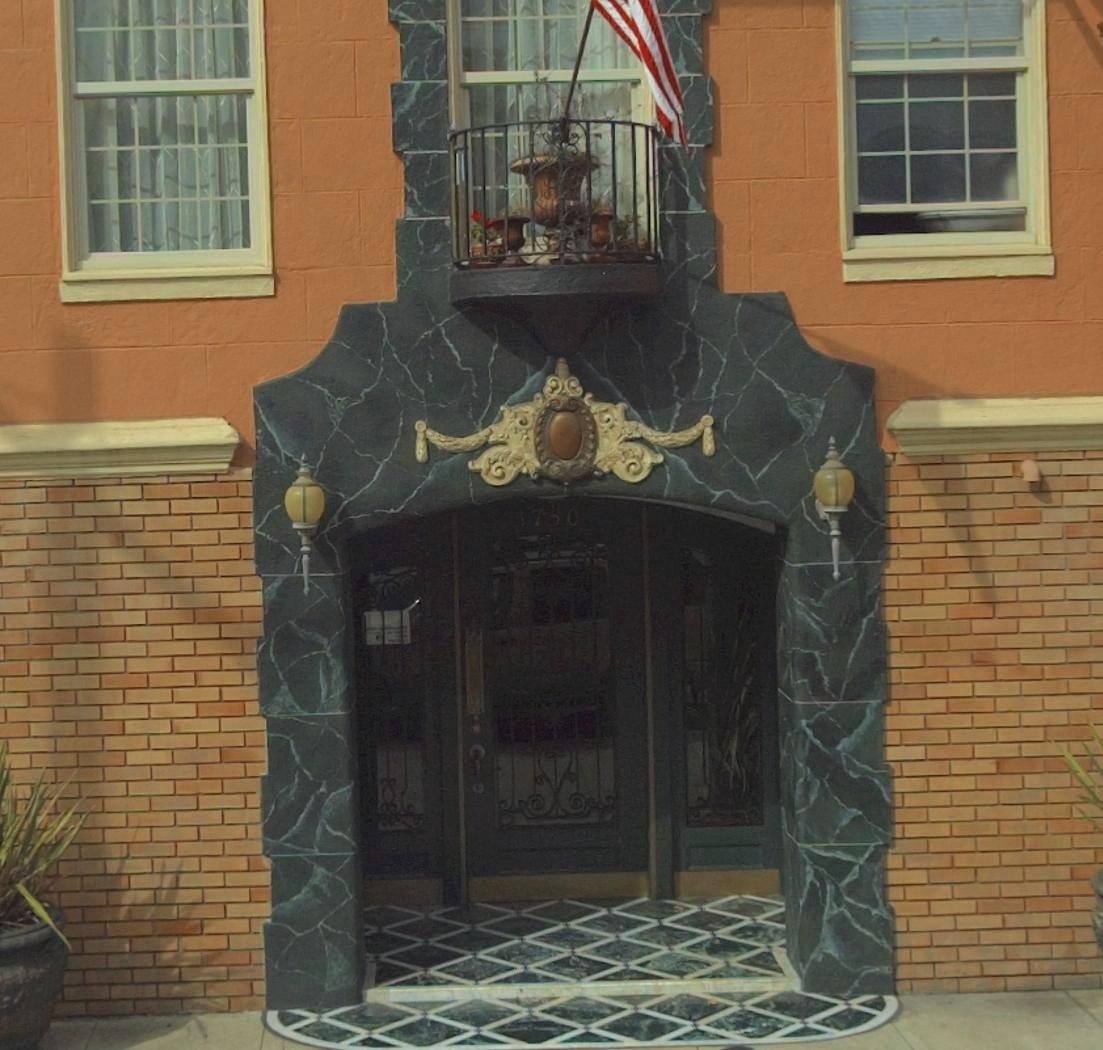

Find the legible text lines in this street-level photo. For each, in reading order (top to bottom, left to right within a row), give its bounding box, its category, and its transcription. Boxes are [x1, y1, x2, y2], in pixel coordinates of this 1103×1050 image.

[516, 506, 584, 531] StreetNumber: 1750